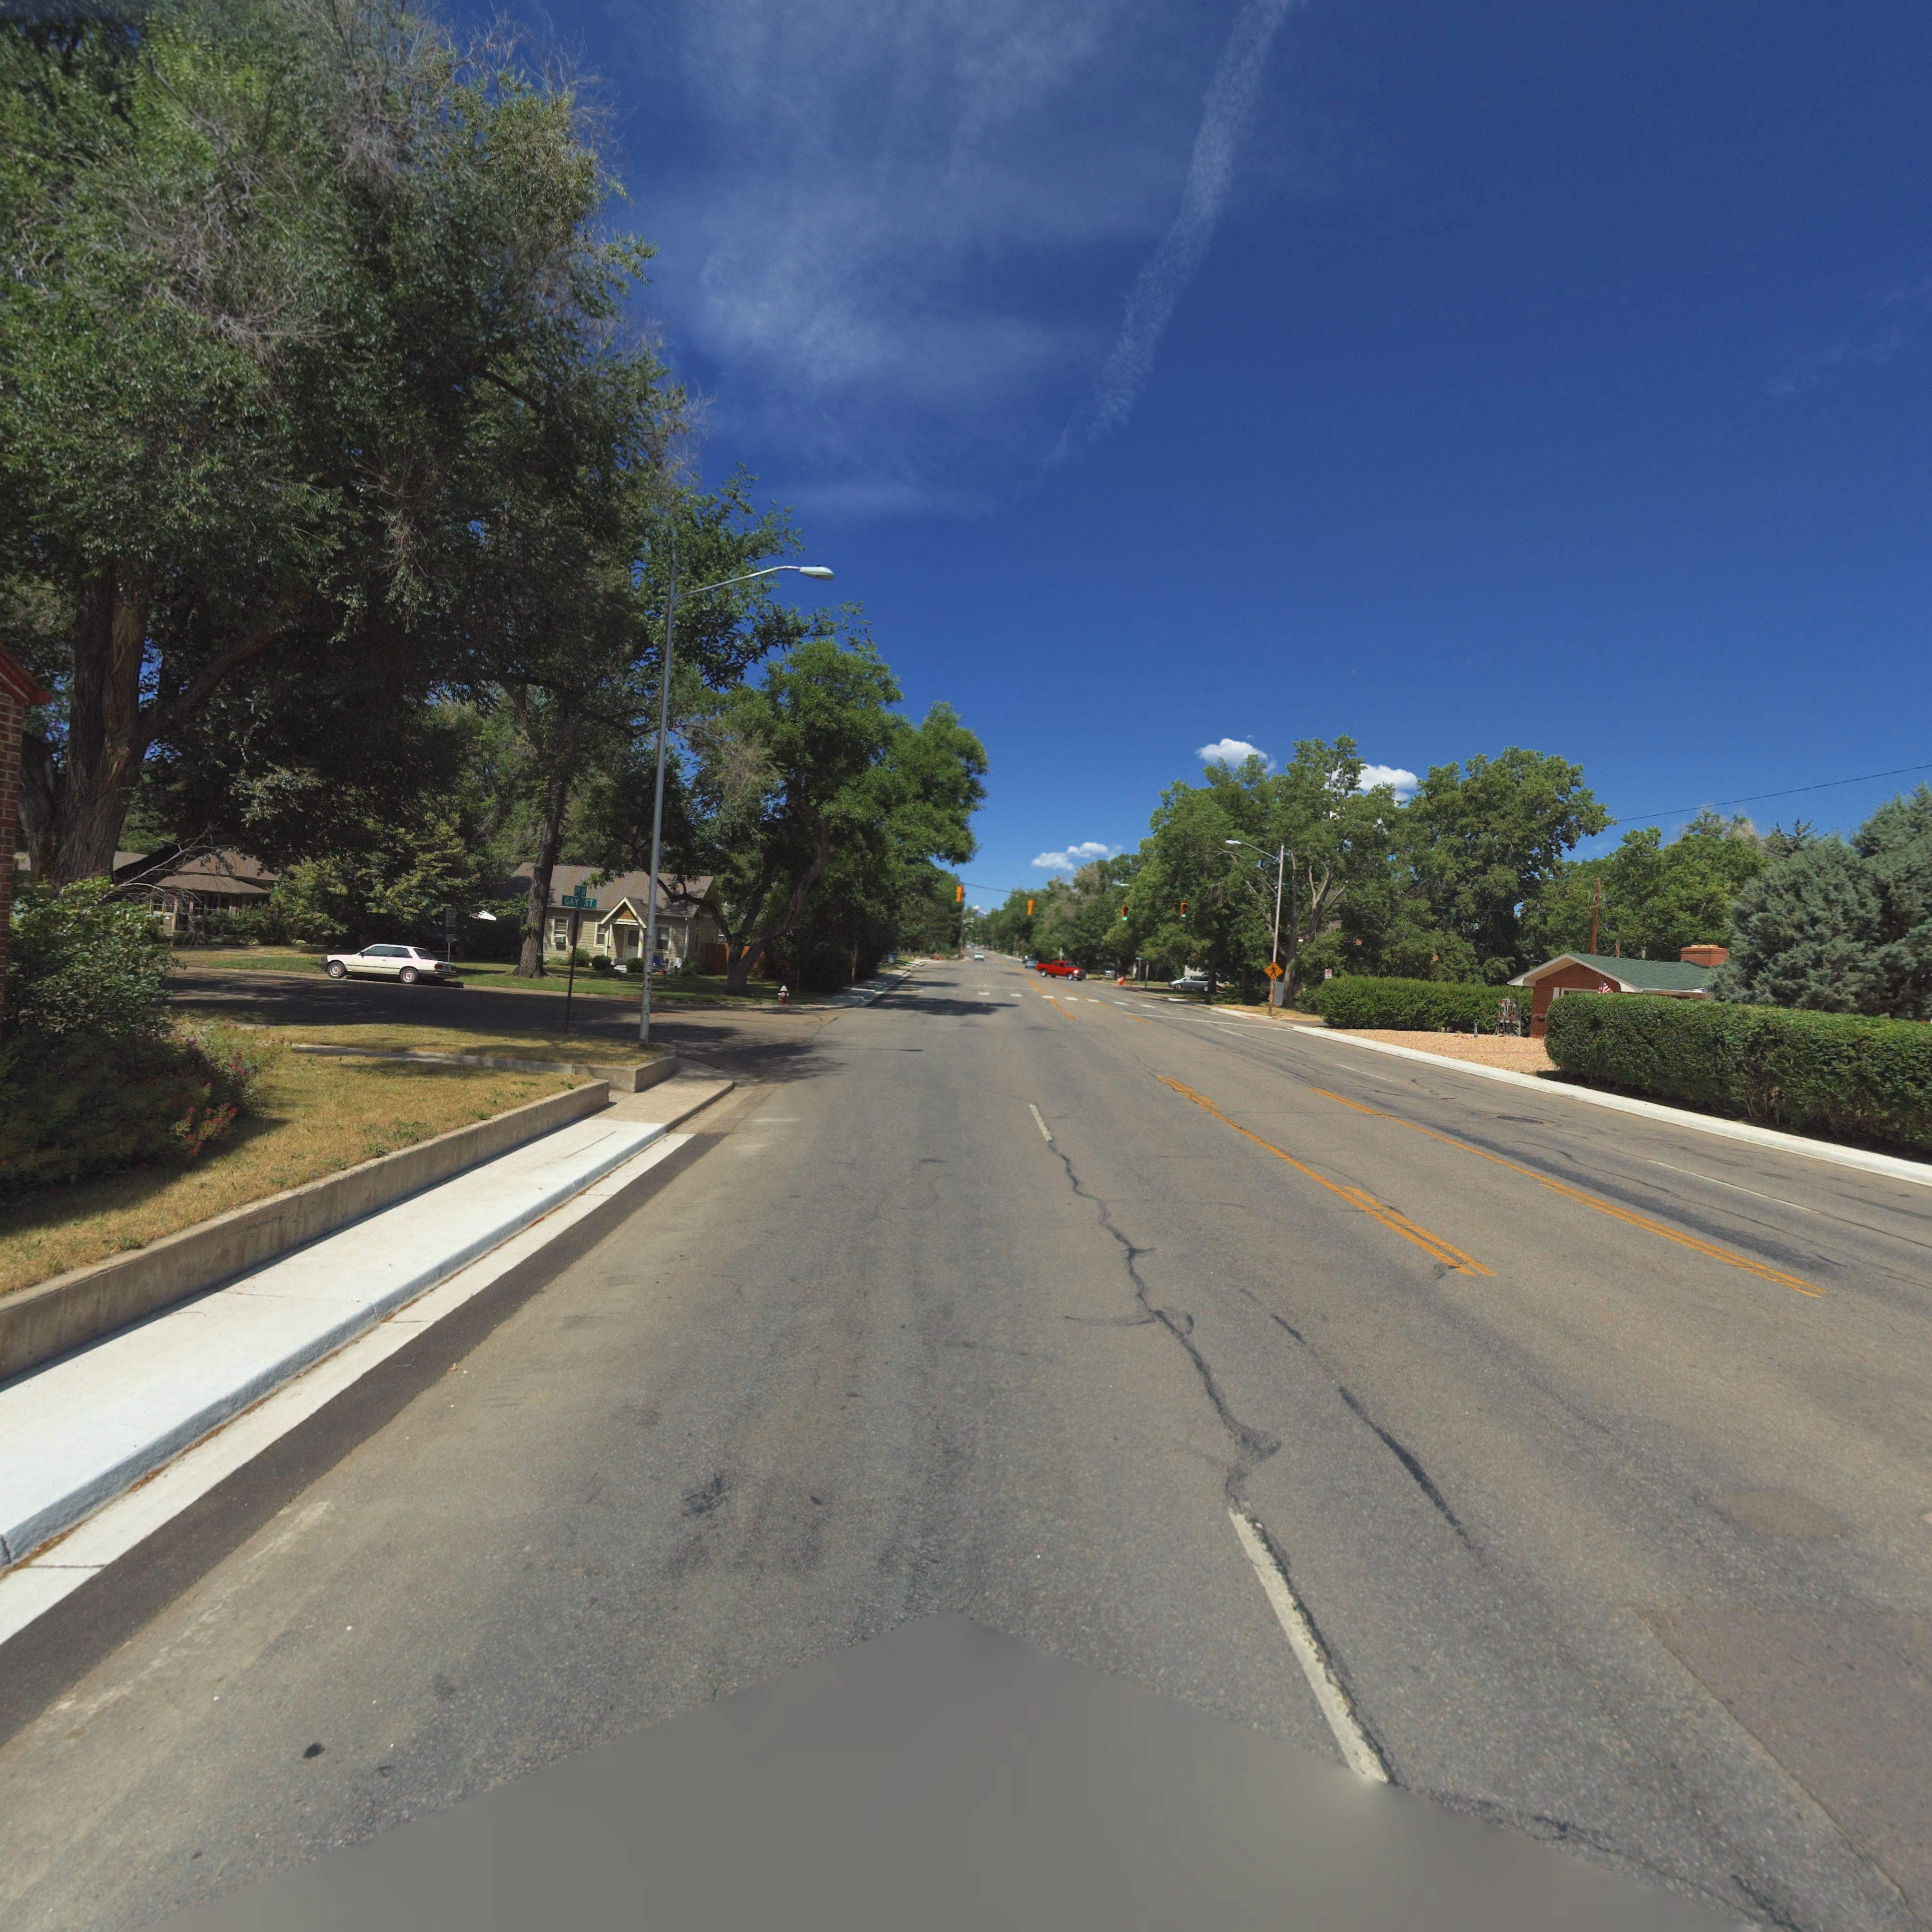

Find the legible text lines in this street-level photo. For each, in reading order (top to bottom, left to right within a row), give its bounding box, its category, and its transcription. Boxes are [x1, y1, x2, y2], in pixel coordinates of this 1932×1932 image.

[574, 887, 586, 896] StreetName: 9** A*
[564, 896, 594, 908] StreetName: GAY ST